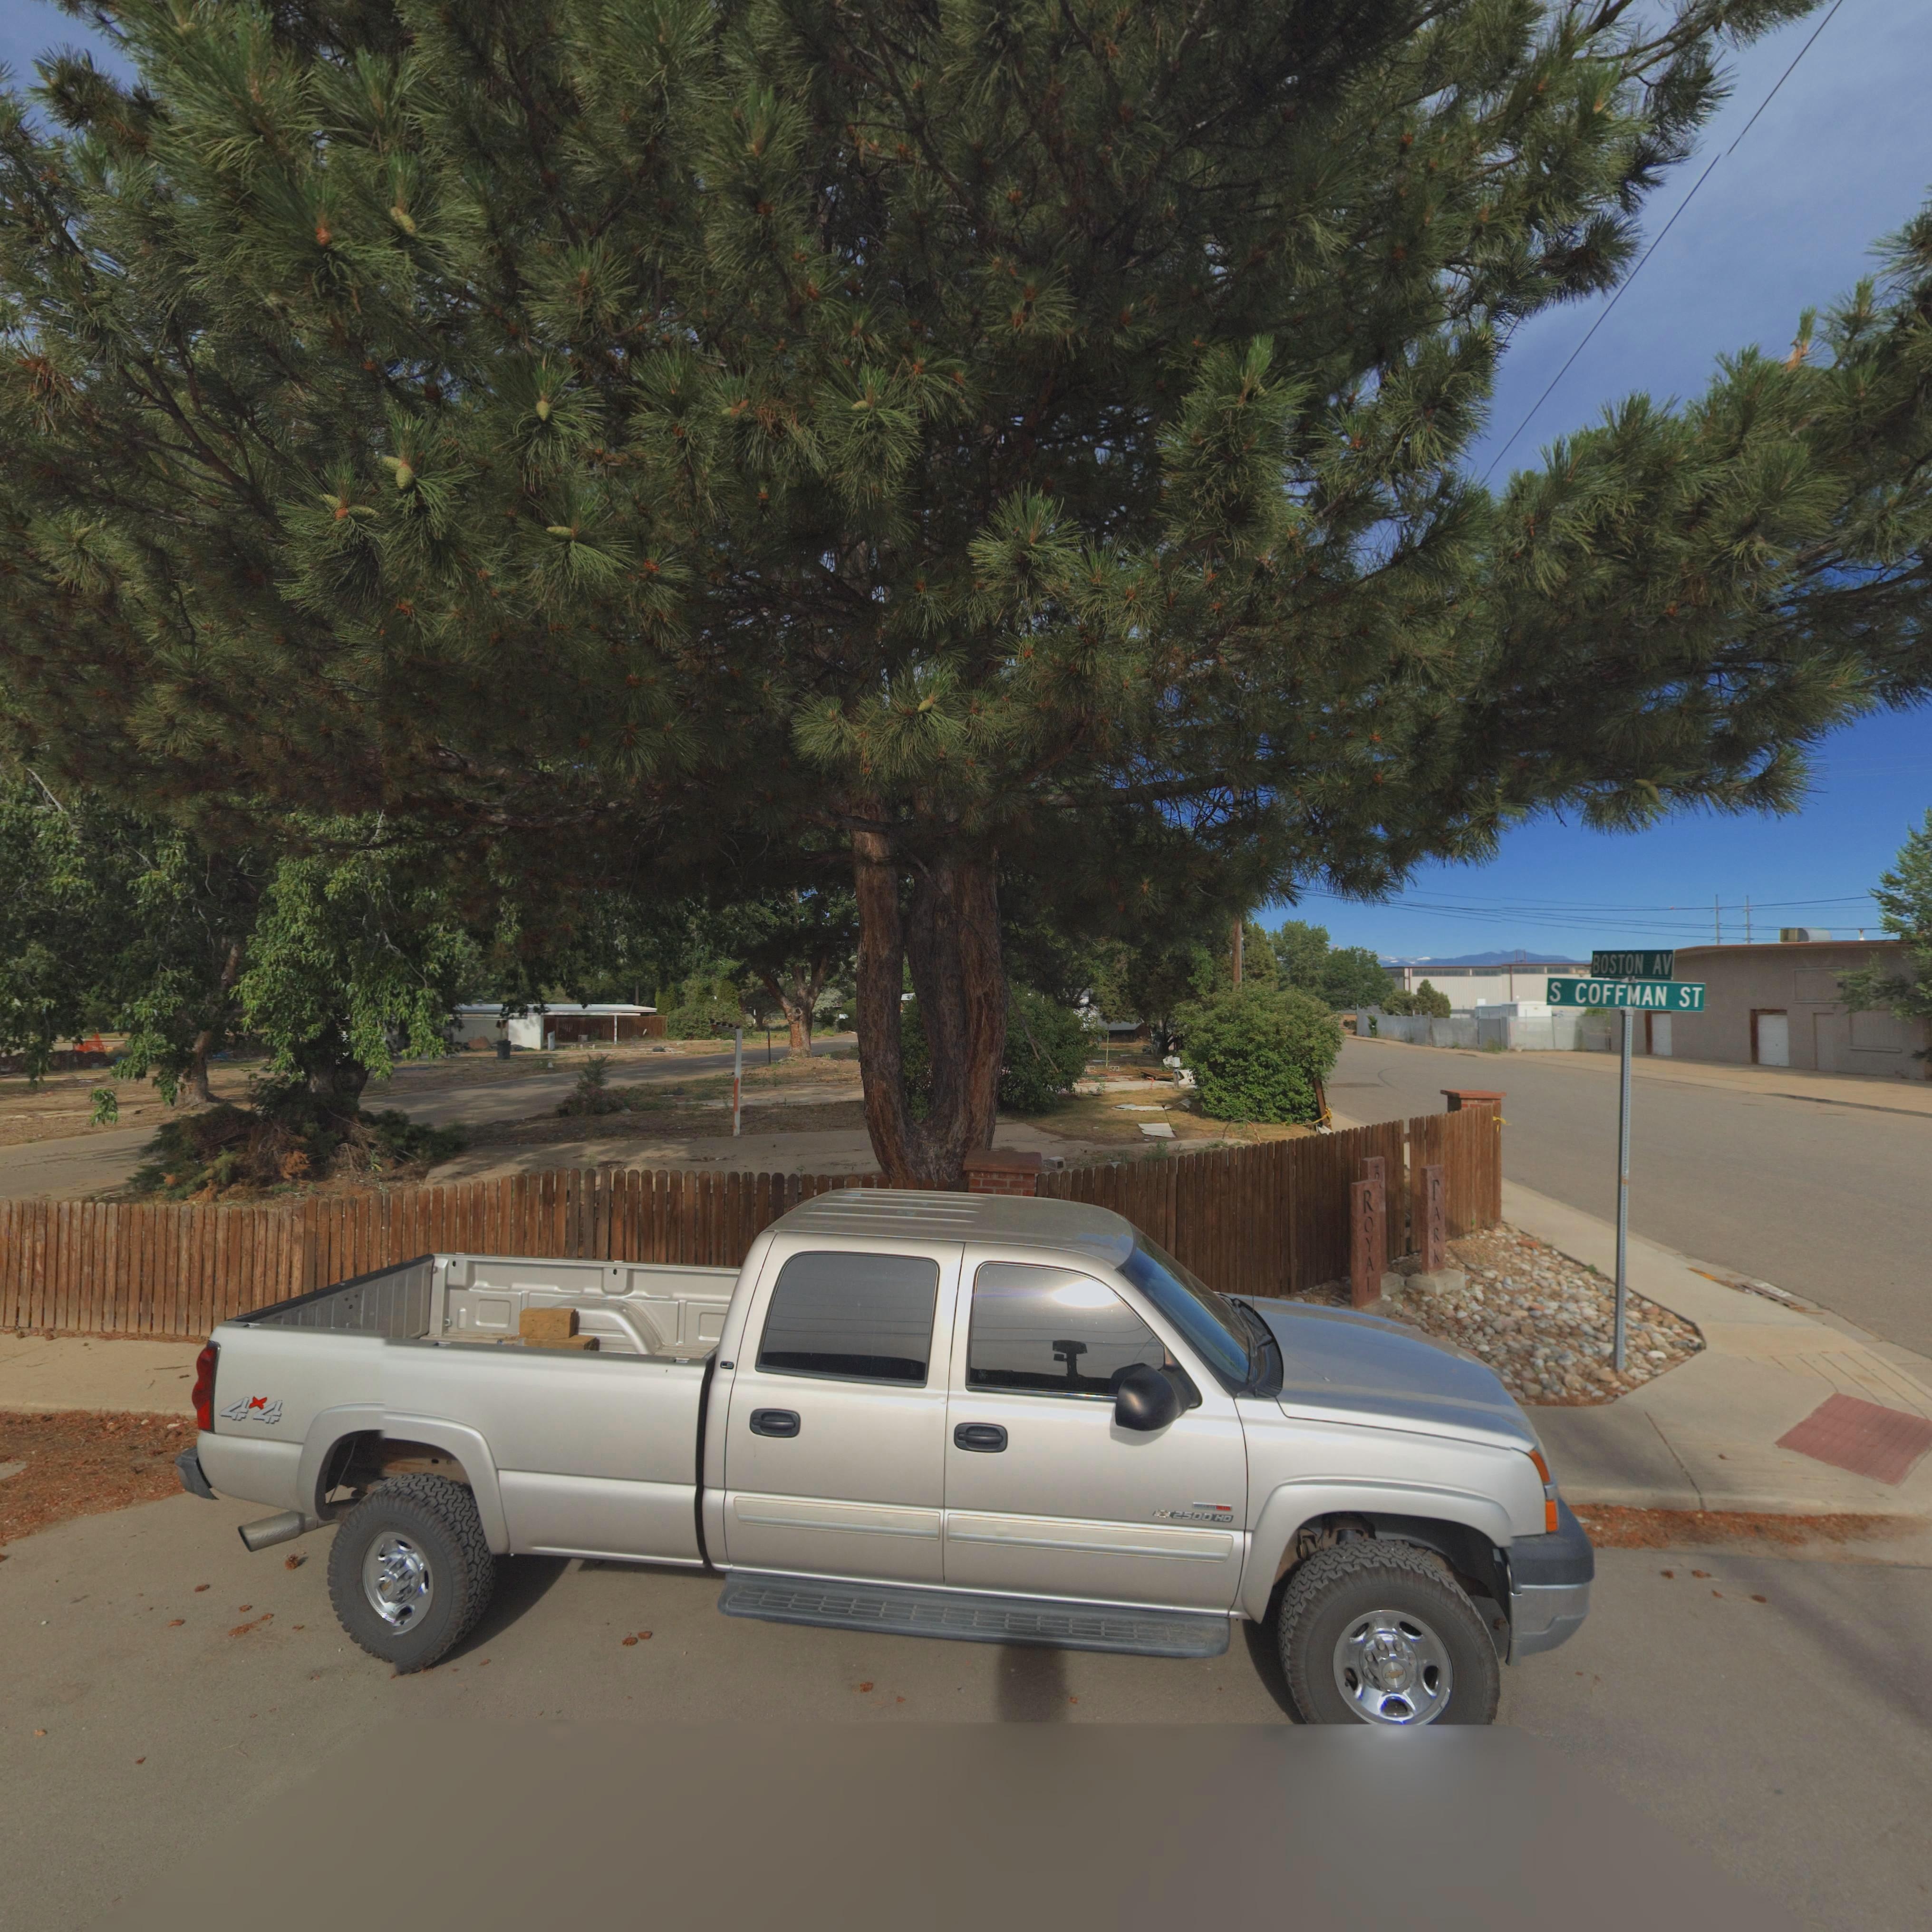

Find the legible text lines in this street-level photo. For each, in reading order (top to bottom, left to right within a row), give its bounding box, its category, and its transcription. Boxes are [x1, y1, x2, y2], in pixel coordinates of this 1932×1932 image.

[404, 129, 406, 133] StreetName: BOSTON AV
[1548, 979, 1703, 1008] StreetName: S COFFMAN ST